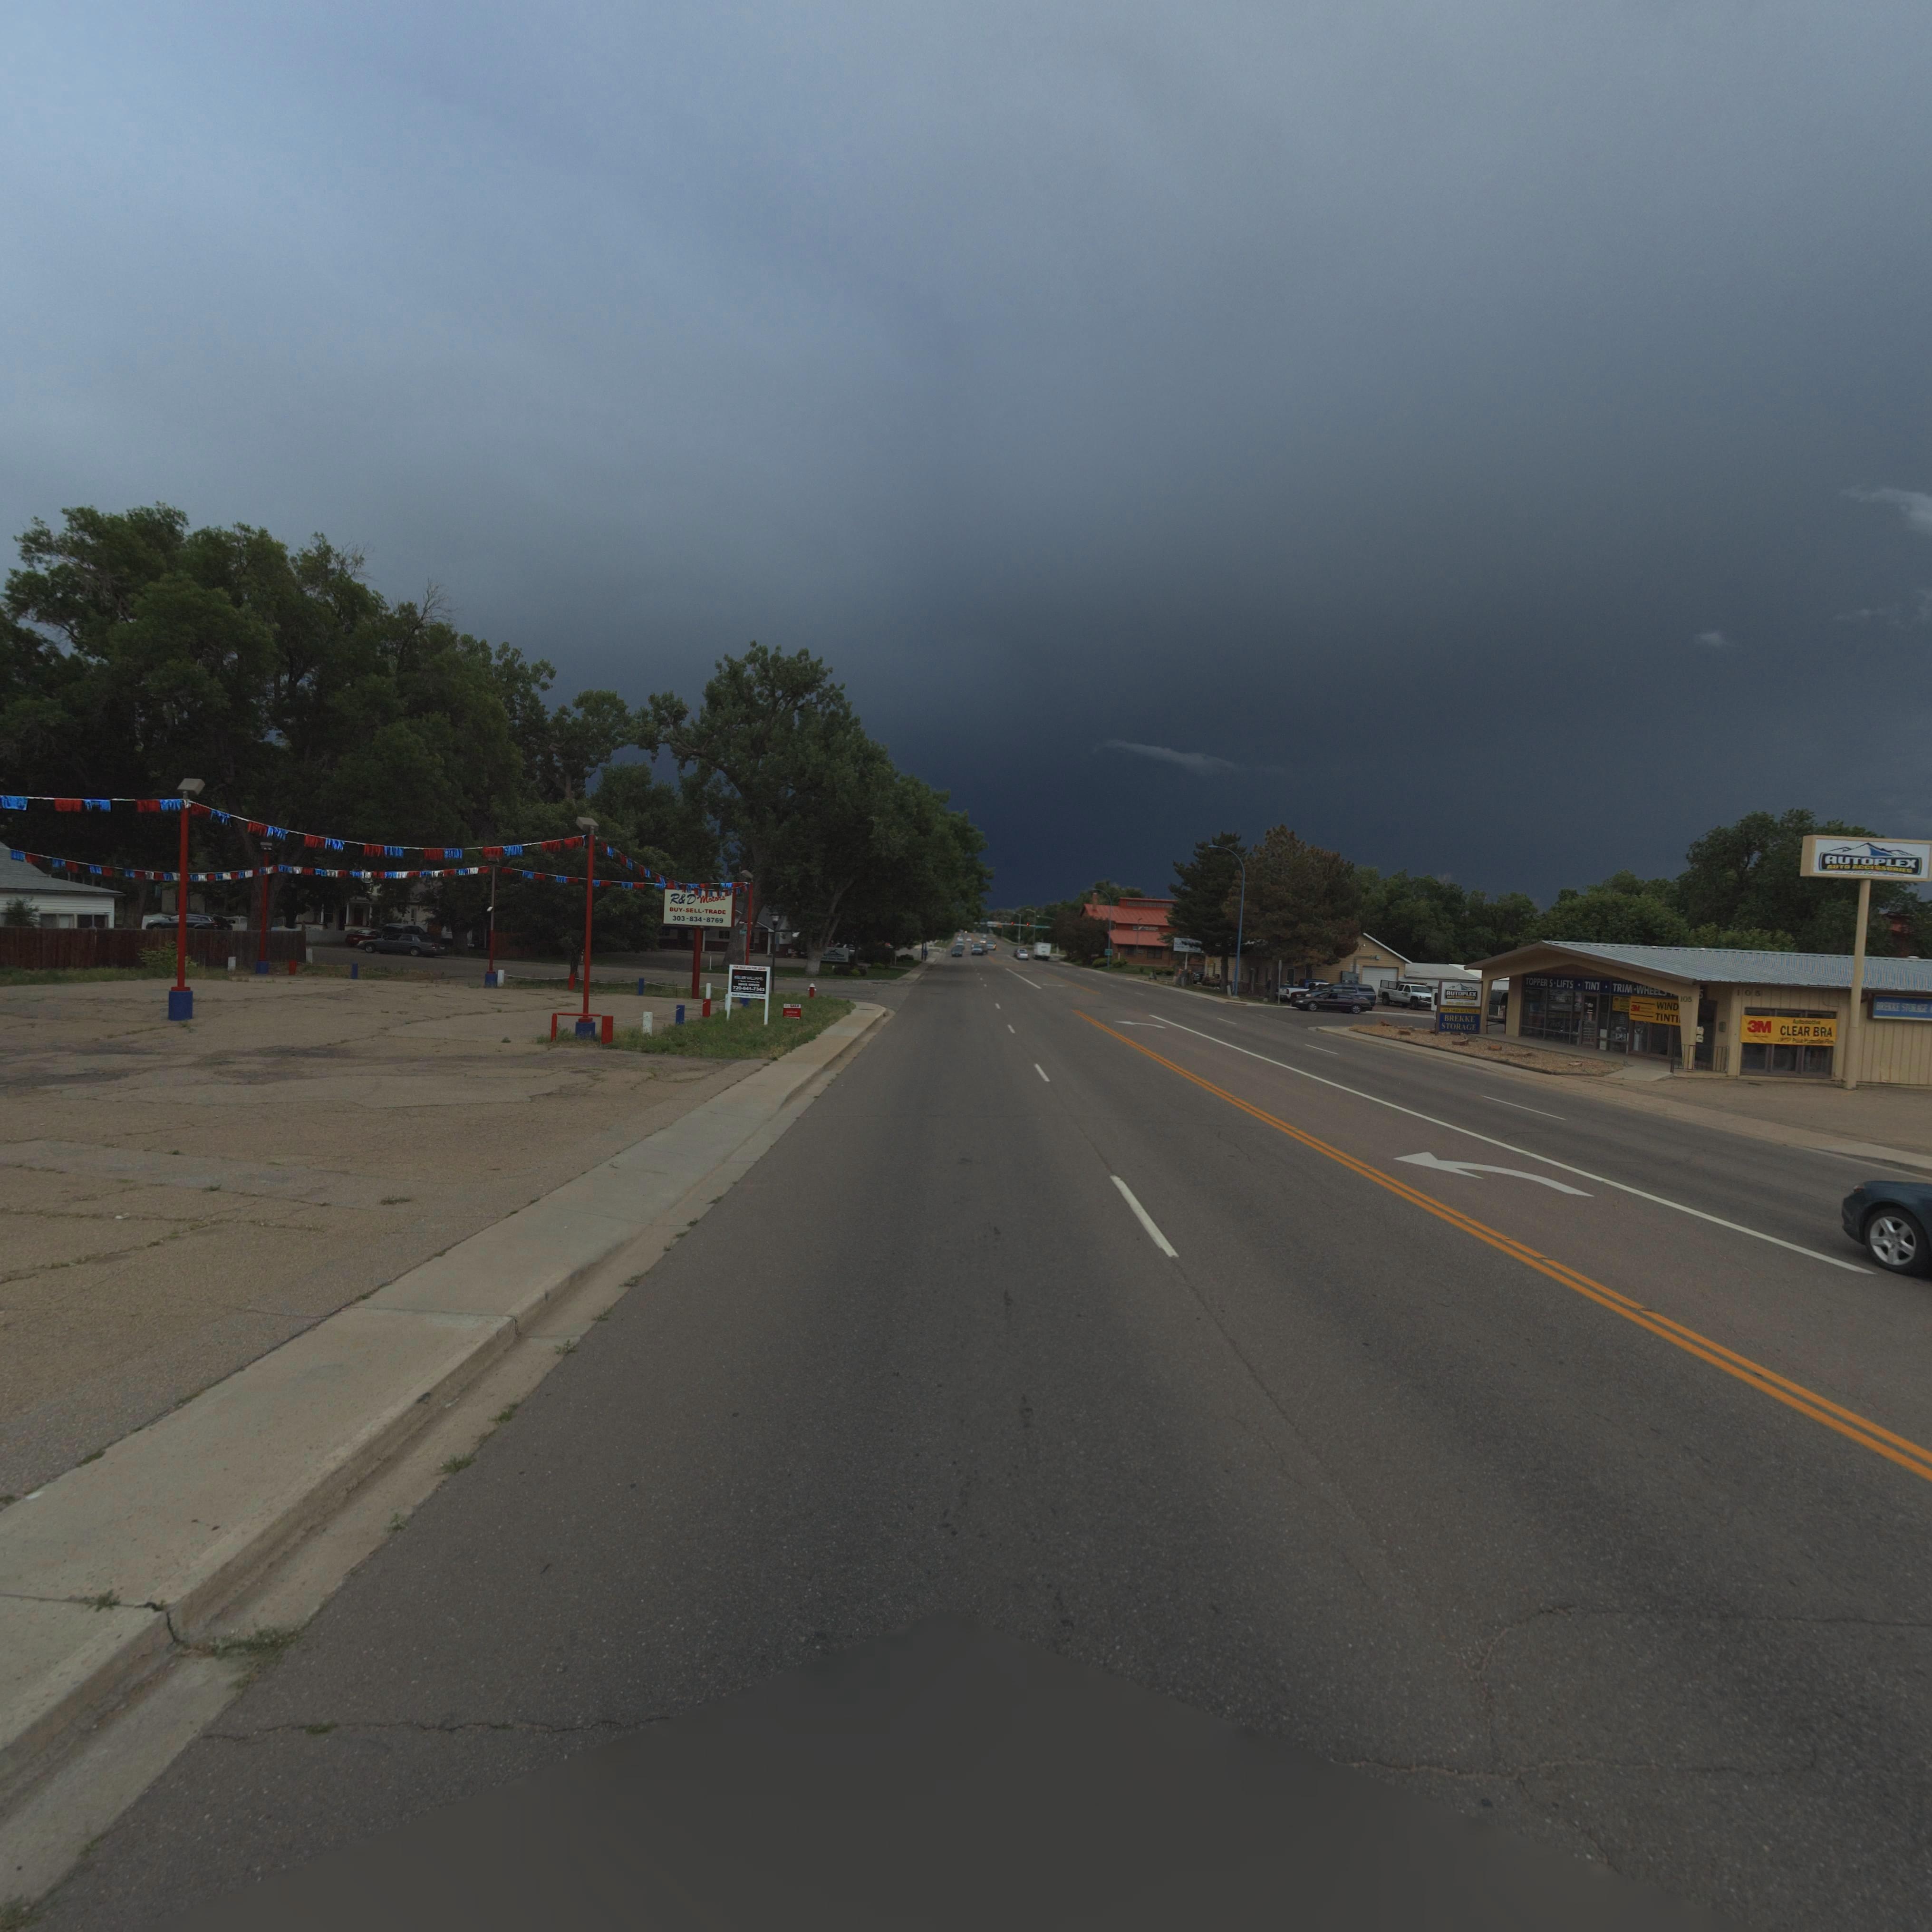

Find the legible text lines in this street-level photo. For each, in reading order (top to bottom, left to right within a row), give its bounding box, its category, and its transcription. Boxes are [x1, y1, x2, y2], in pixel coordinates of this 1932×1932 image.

[1824, 854, 1917, 868] BusinessName: AUTOPLEX
[1826, 864, 1913, 873] BusinessName: AUTO ACCESSORIES
[669, 892, 696, 905] BusinessName: R*D
[696, 894, 726, 904] BusinessName: Motors
[1446, 990, 1476, 996] BusinessName: AUTOPLEX
[1736, 988, 1761, 997] StreetNumber: 105
[1679, 995, 1692, 1003] StreetNumber: 105
[1444, 1014, 1476, 1022] BusinessName: BREKKE
[1440, 1022, 1477, 1031] BusinessName: STORAGE